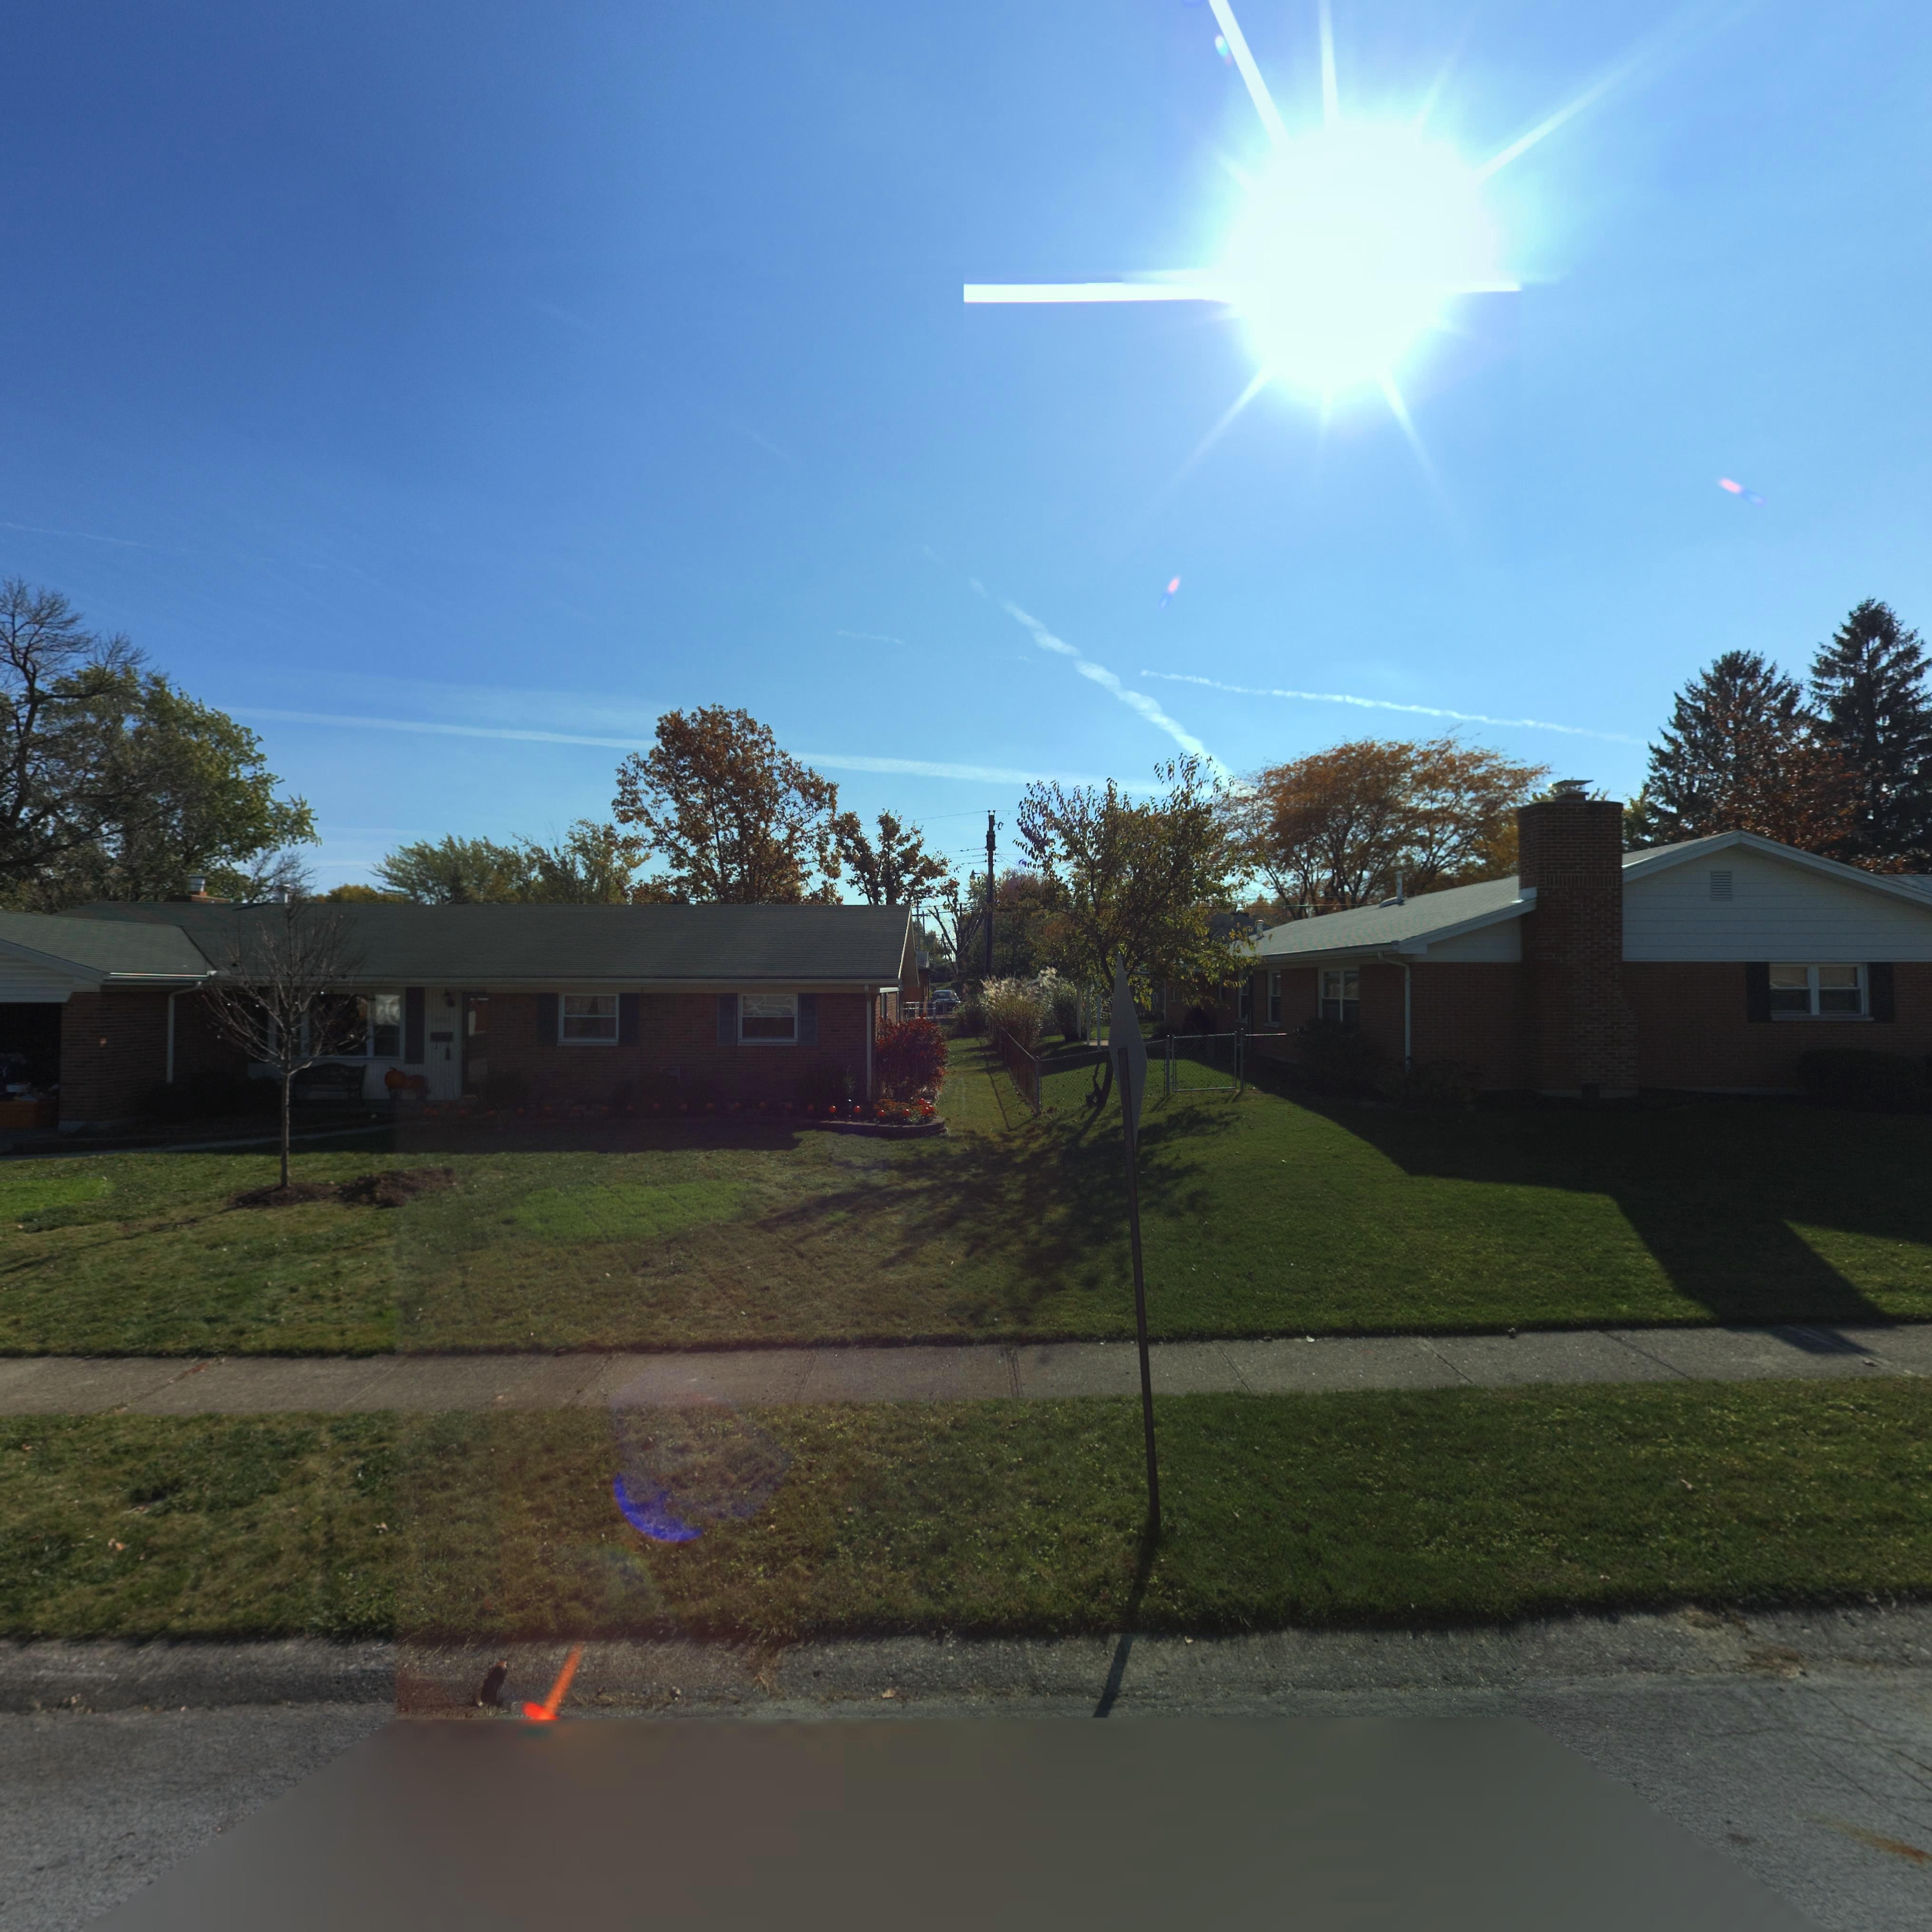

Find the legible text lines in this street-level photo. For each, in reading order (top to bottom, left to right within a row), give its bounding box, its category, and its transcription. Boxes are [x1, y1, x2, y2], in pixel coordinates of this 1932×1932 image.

[434, 1015, 451, 1022] StreetNumber: 100*